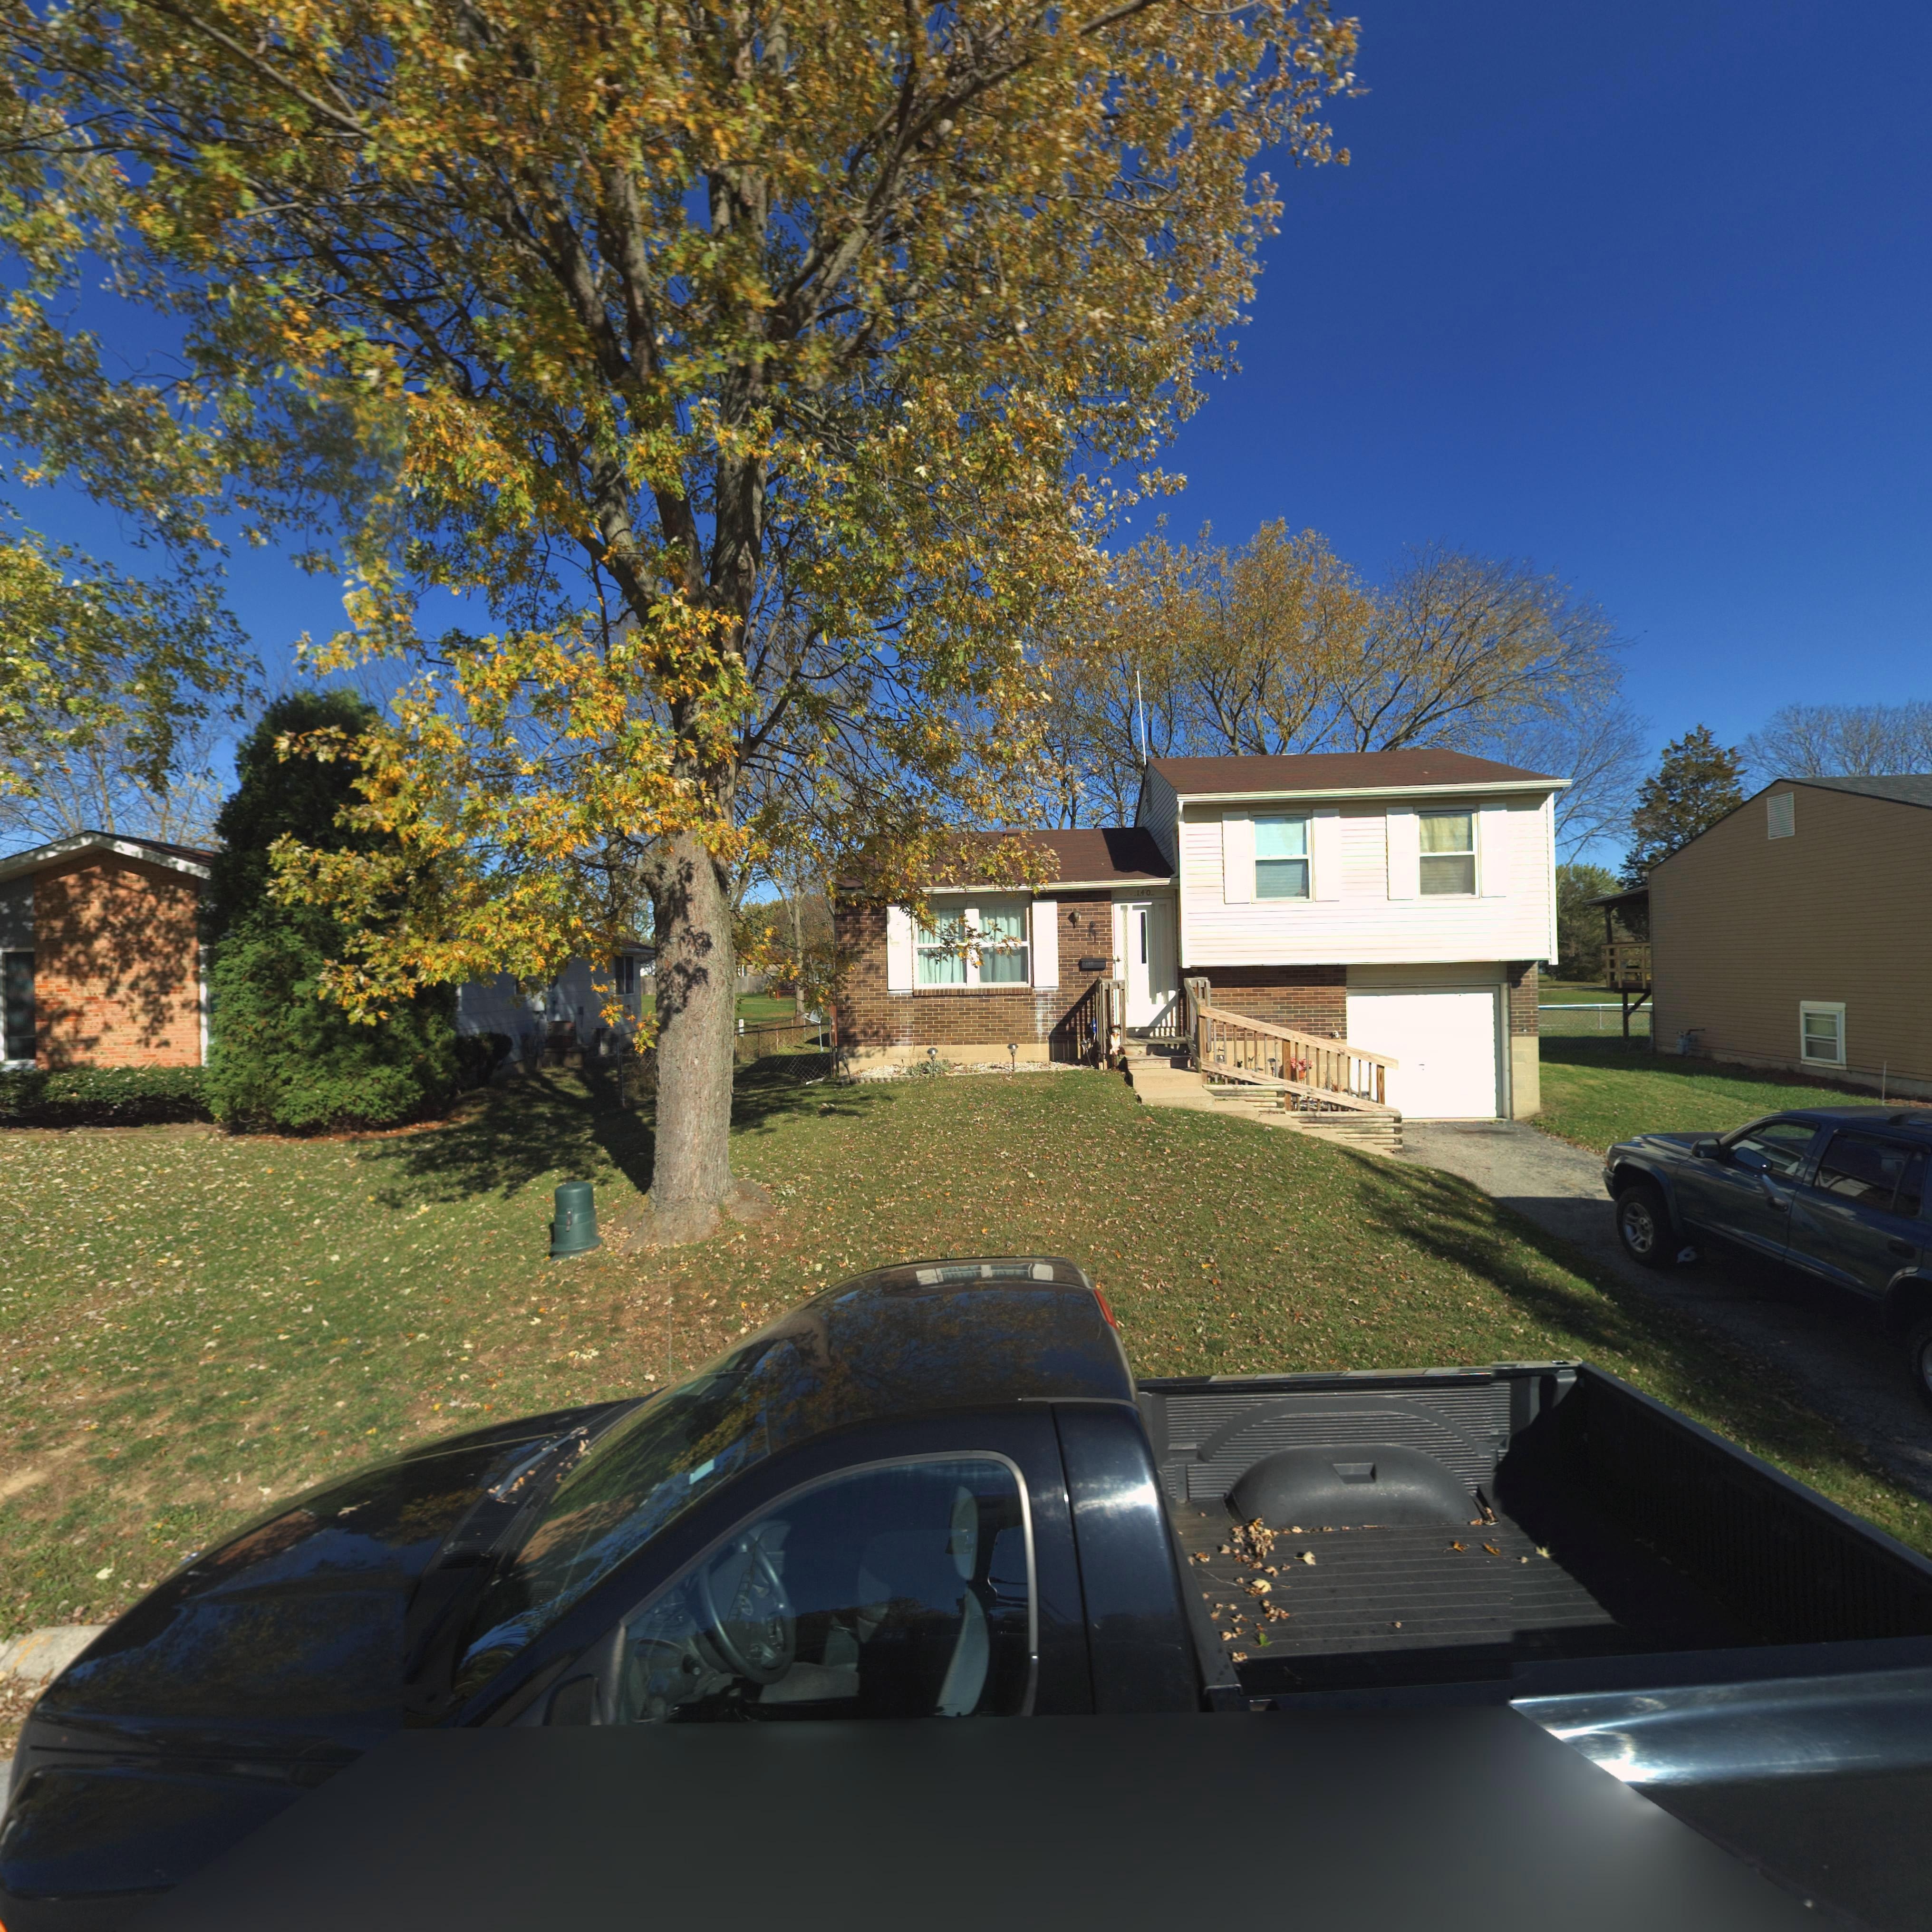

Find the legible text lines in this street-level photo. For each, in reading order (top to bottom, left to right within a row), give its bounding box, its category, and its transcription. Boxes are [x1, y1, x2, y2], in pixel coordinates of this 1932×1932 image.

[1136, 889, 1151, 897] StreetNumber: 140